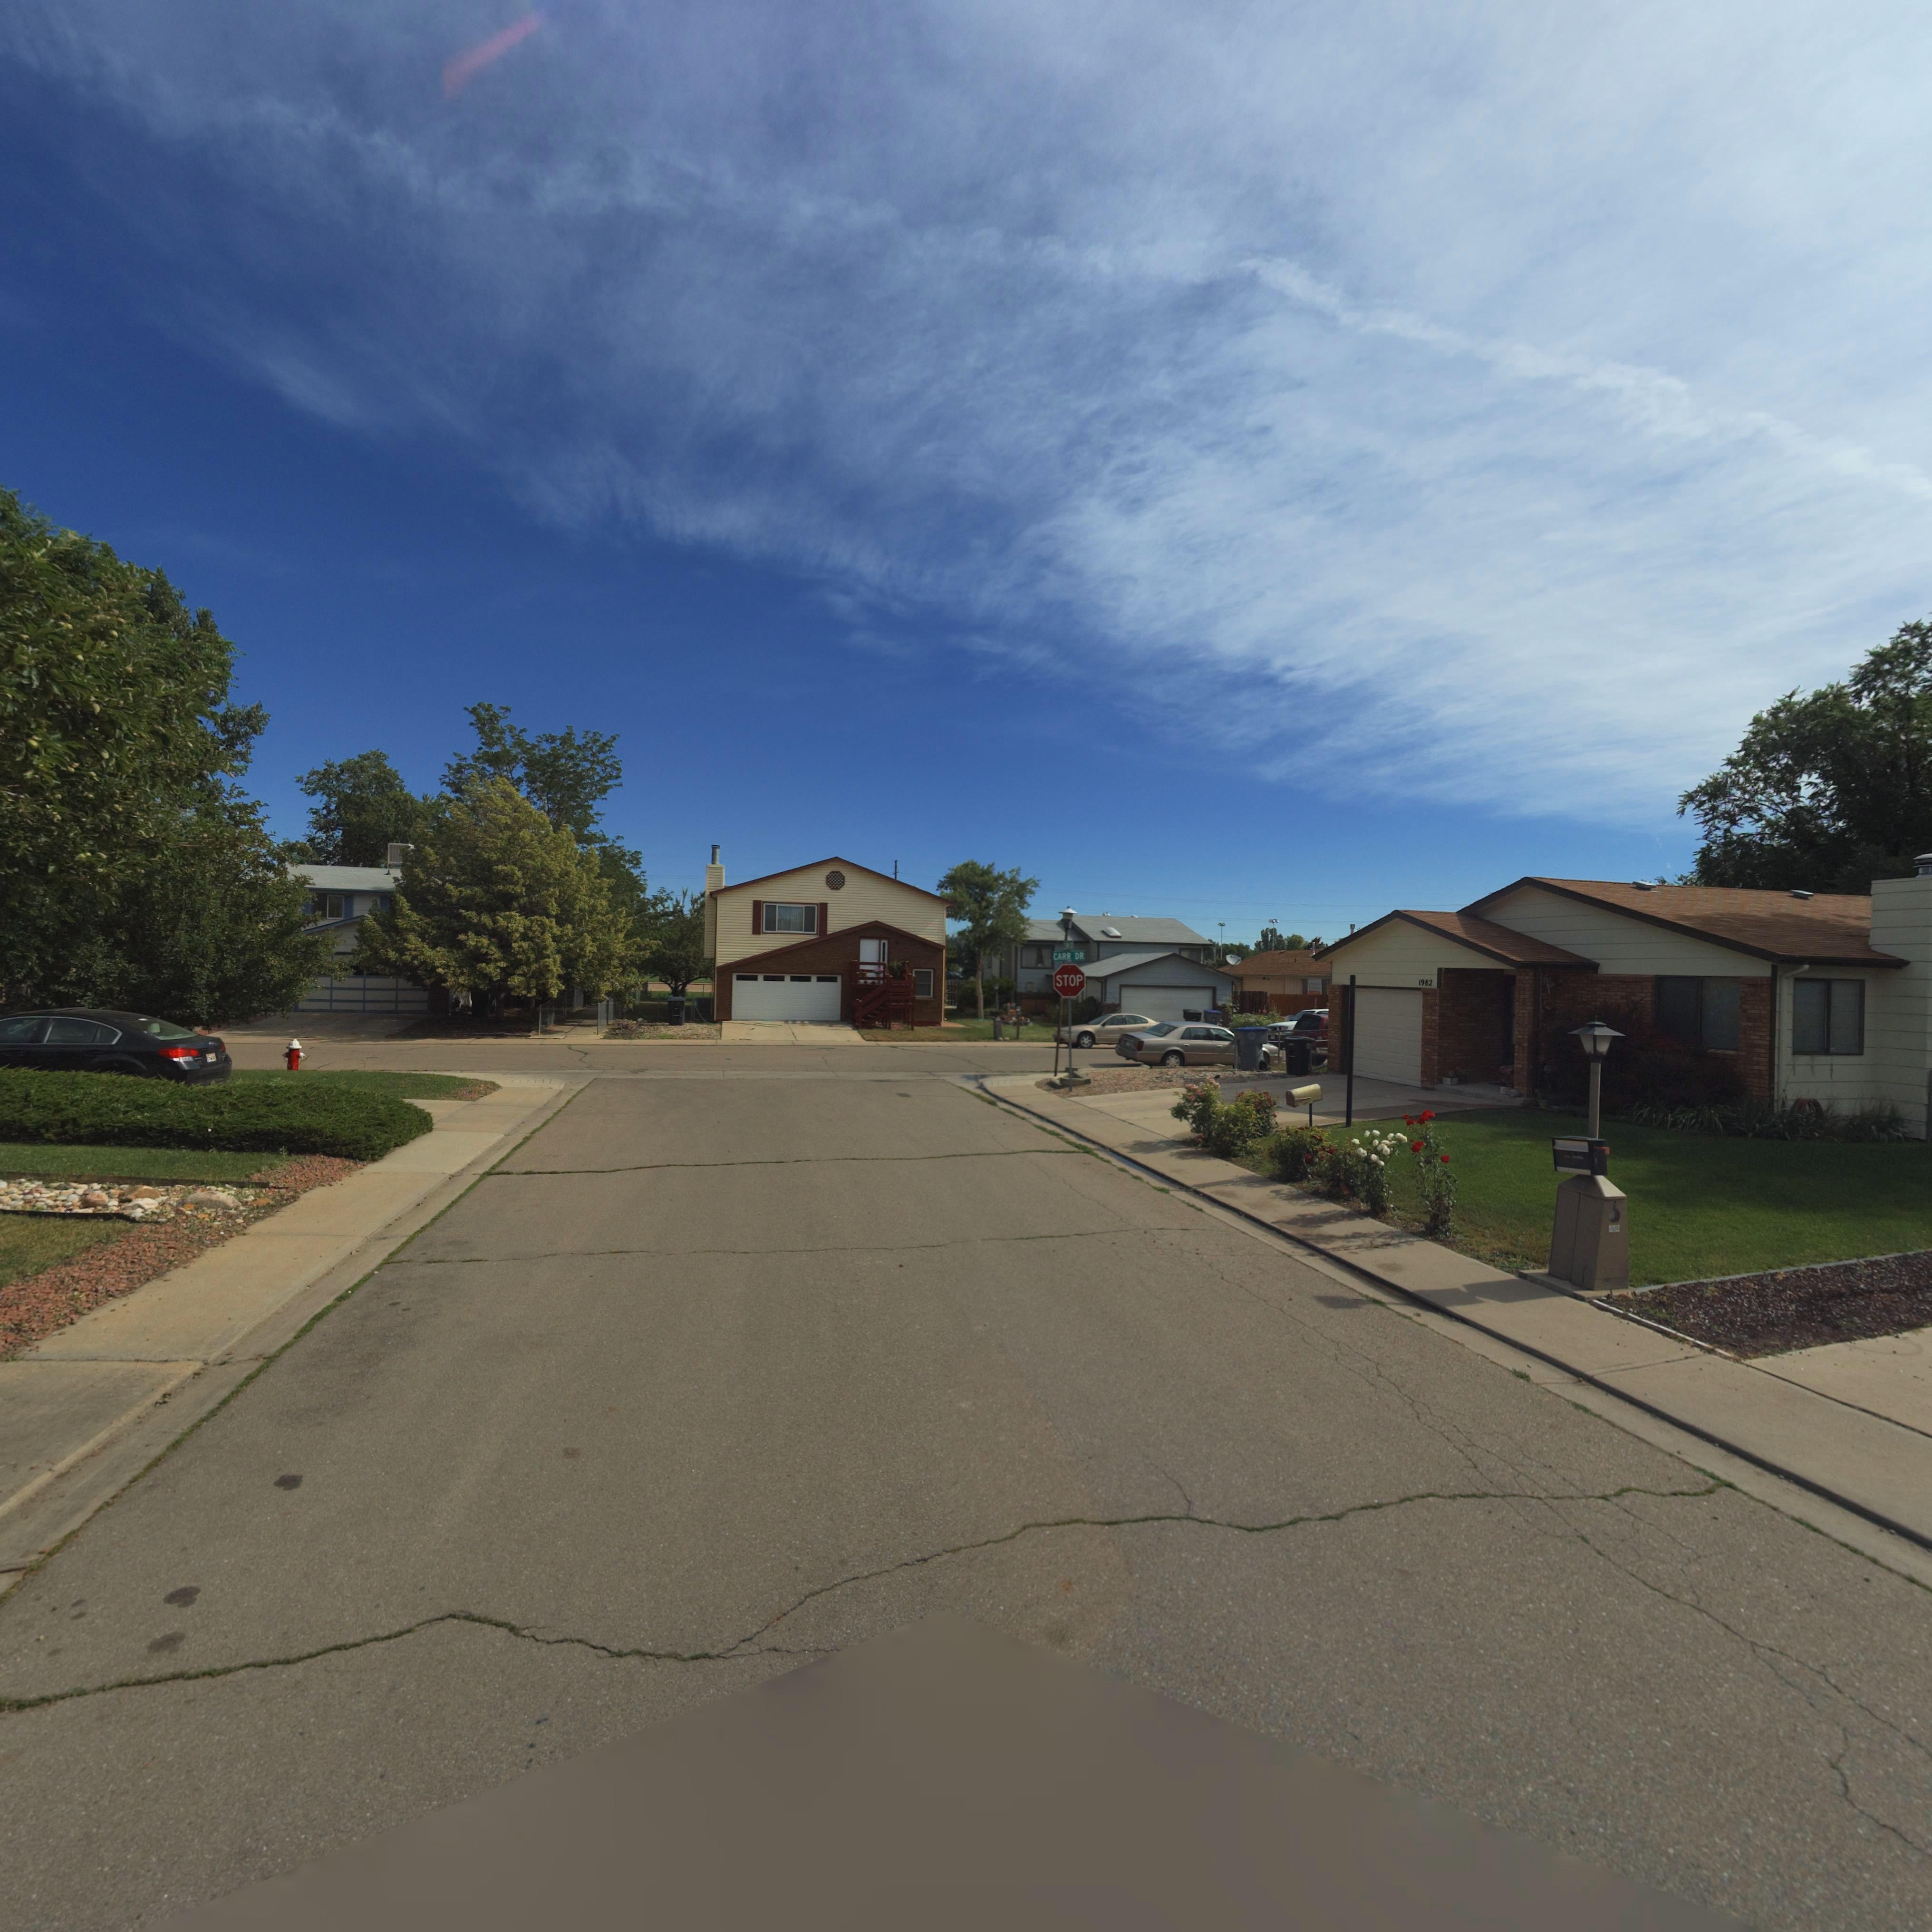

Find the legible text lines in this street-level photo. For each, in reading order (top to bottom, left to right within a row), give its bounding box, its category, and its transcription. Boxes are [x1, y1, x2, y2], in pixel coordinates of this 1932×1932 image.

[1053, 952, 1084, 961] StreetName: CARR DR
[1418, 978, 1433, 986] StreetNumber: 1982